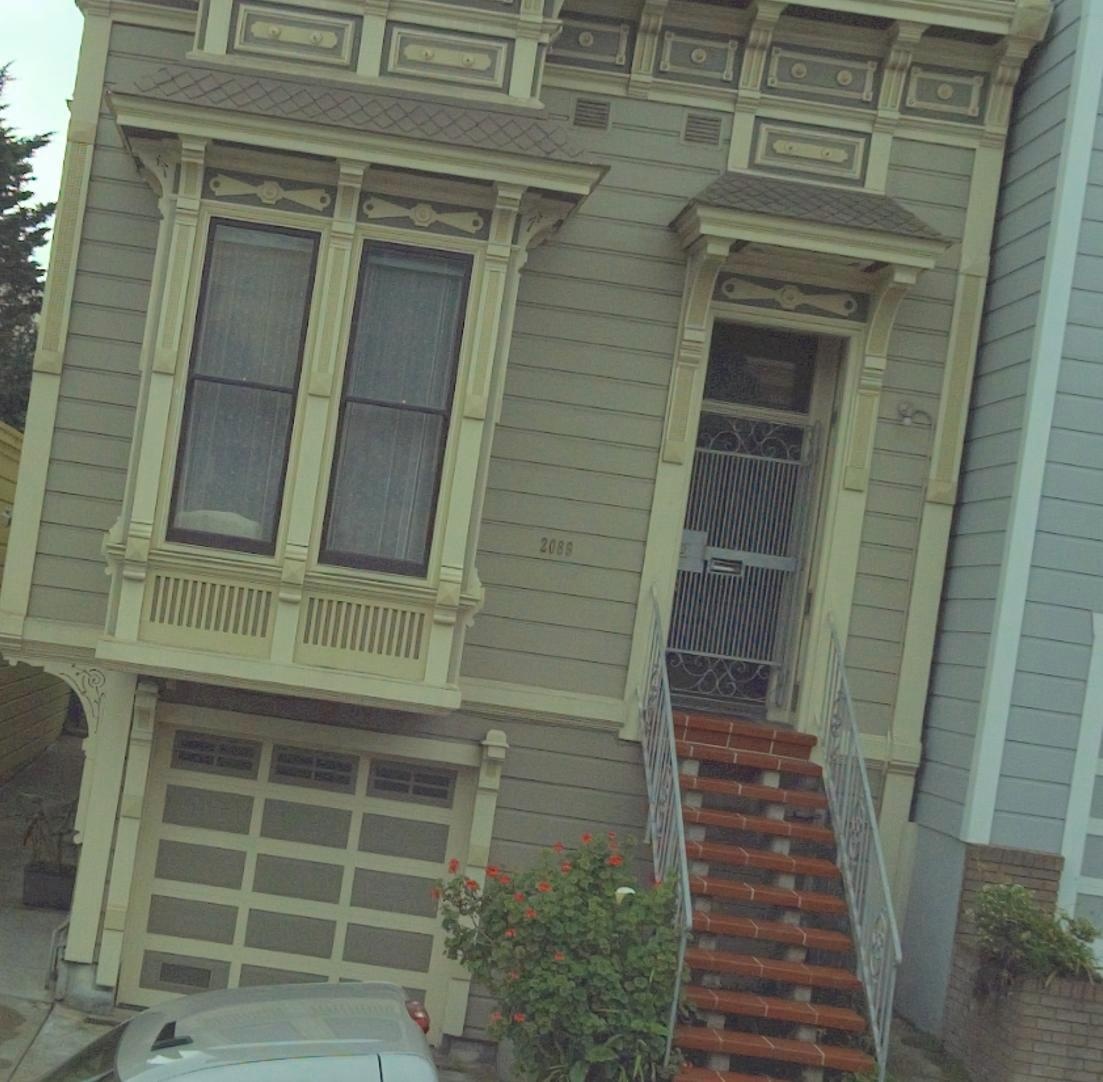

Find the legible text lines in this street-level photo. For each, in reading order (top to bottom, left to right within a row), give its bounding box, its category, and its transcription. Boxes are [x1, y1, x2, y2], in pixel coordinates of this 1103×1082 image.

[537, 535, 575, 559] StreetNumber: 2089